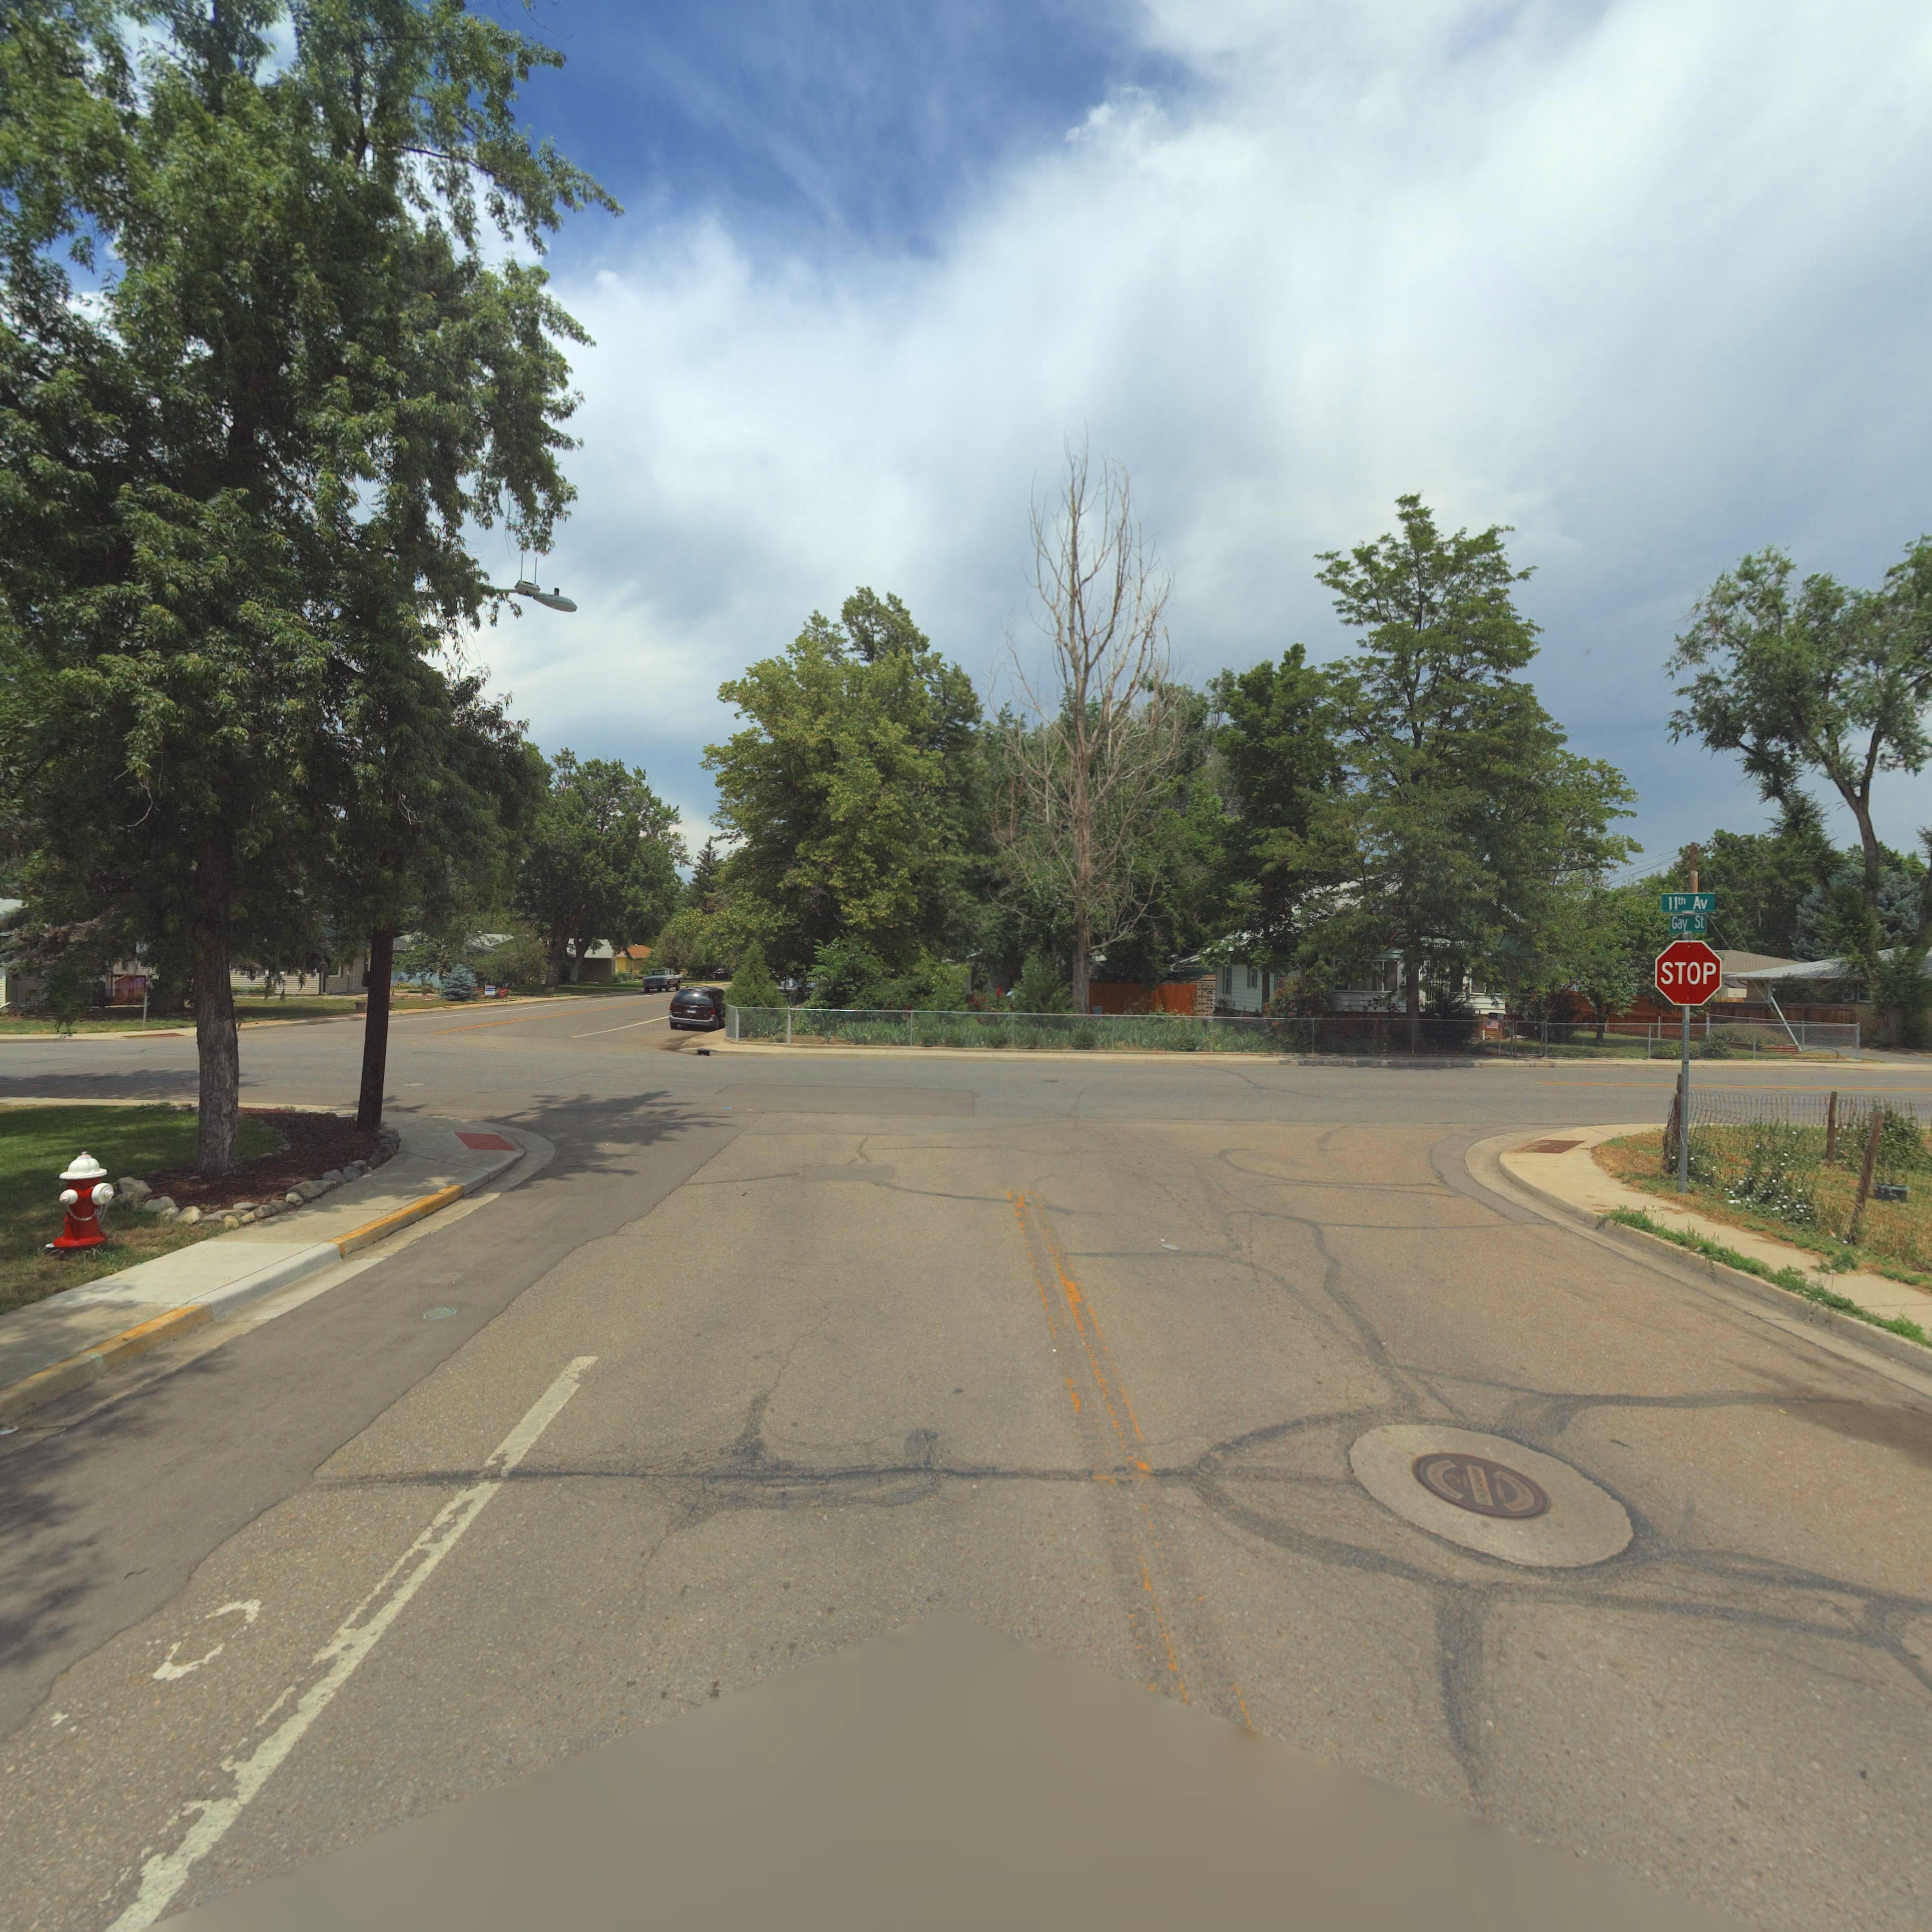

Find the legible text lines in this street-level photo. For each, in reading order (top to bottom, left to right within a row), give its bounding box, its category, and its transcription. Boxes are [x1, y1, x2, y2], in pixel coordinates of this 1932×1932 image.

[1668, 895, 1708, 909] StreetName: 11th Av
[1671, 914, 1704, 931] StreetName: Gay St